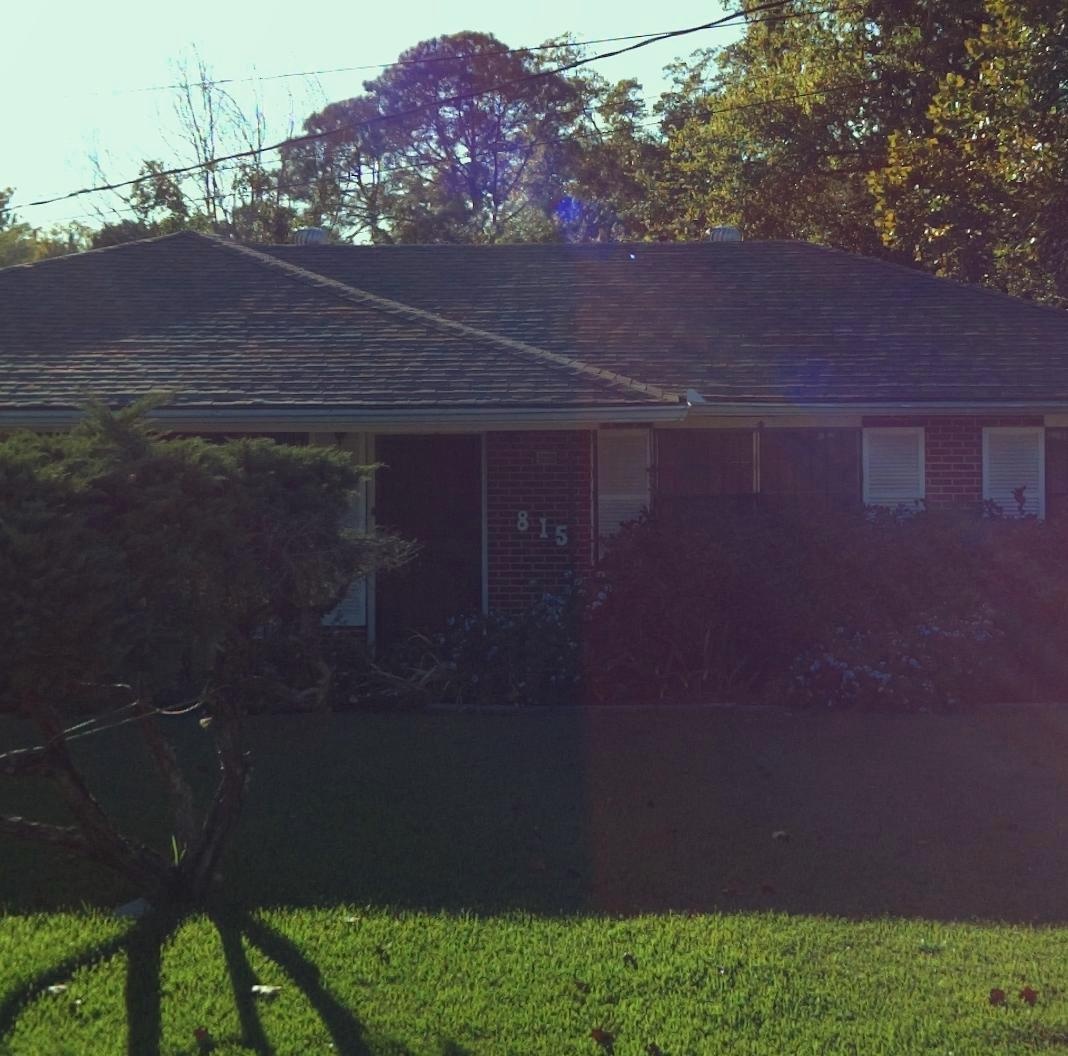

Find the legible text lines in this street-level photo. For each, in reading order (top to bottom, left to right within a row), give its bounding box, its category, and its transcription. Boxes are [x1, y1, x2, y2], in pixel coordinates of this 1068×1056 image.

[514, 508, 570, 548] StreetNumber: 815